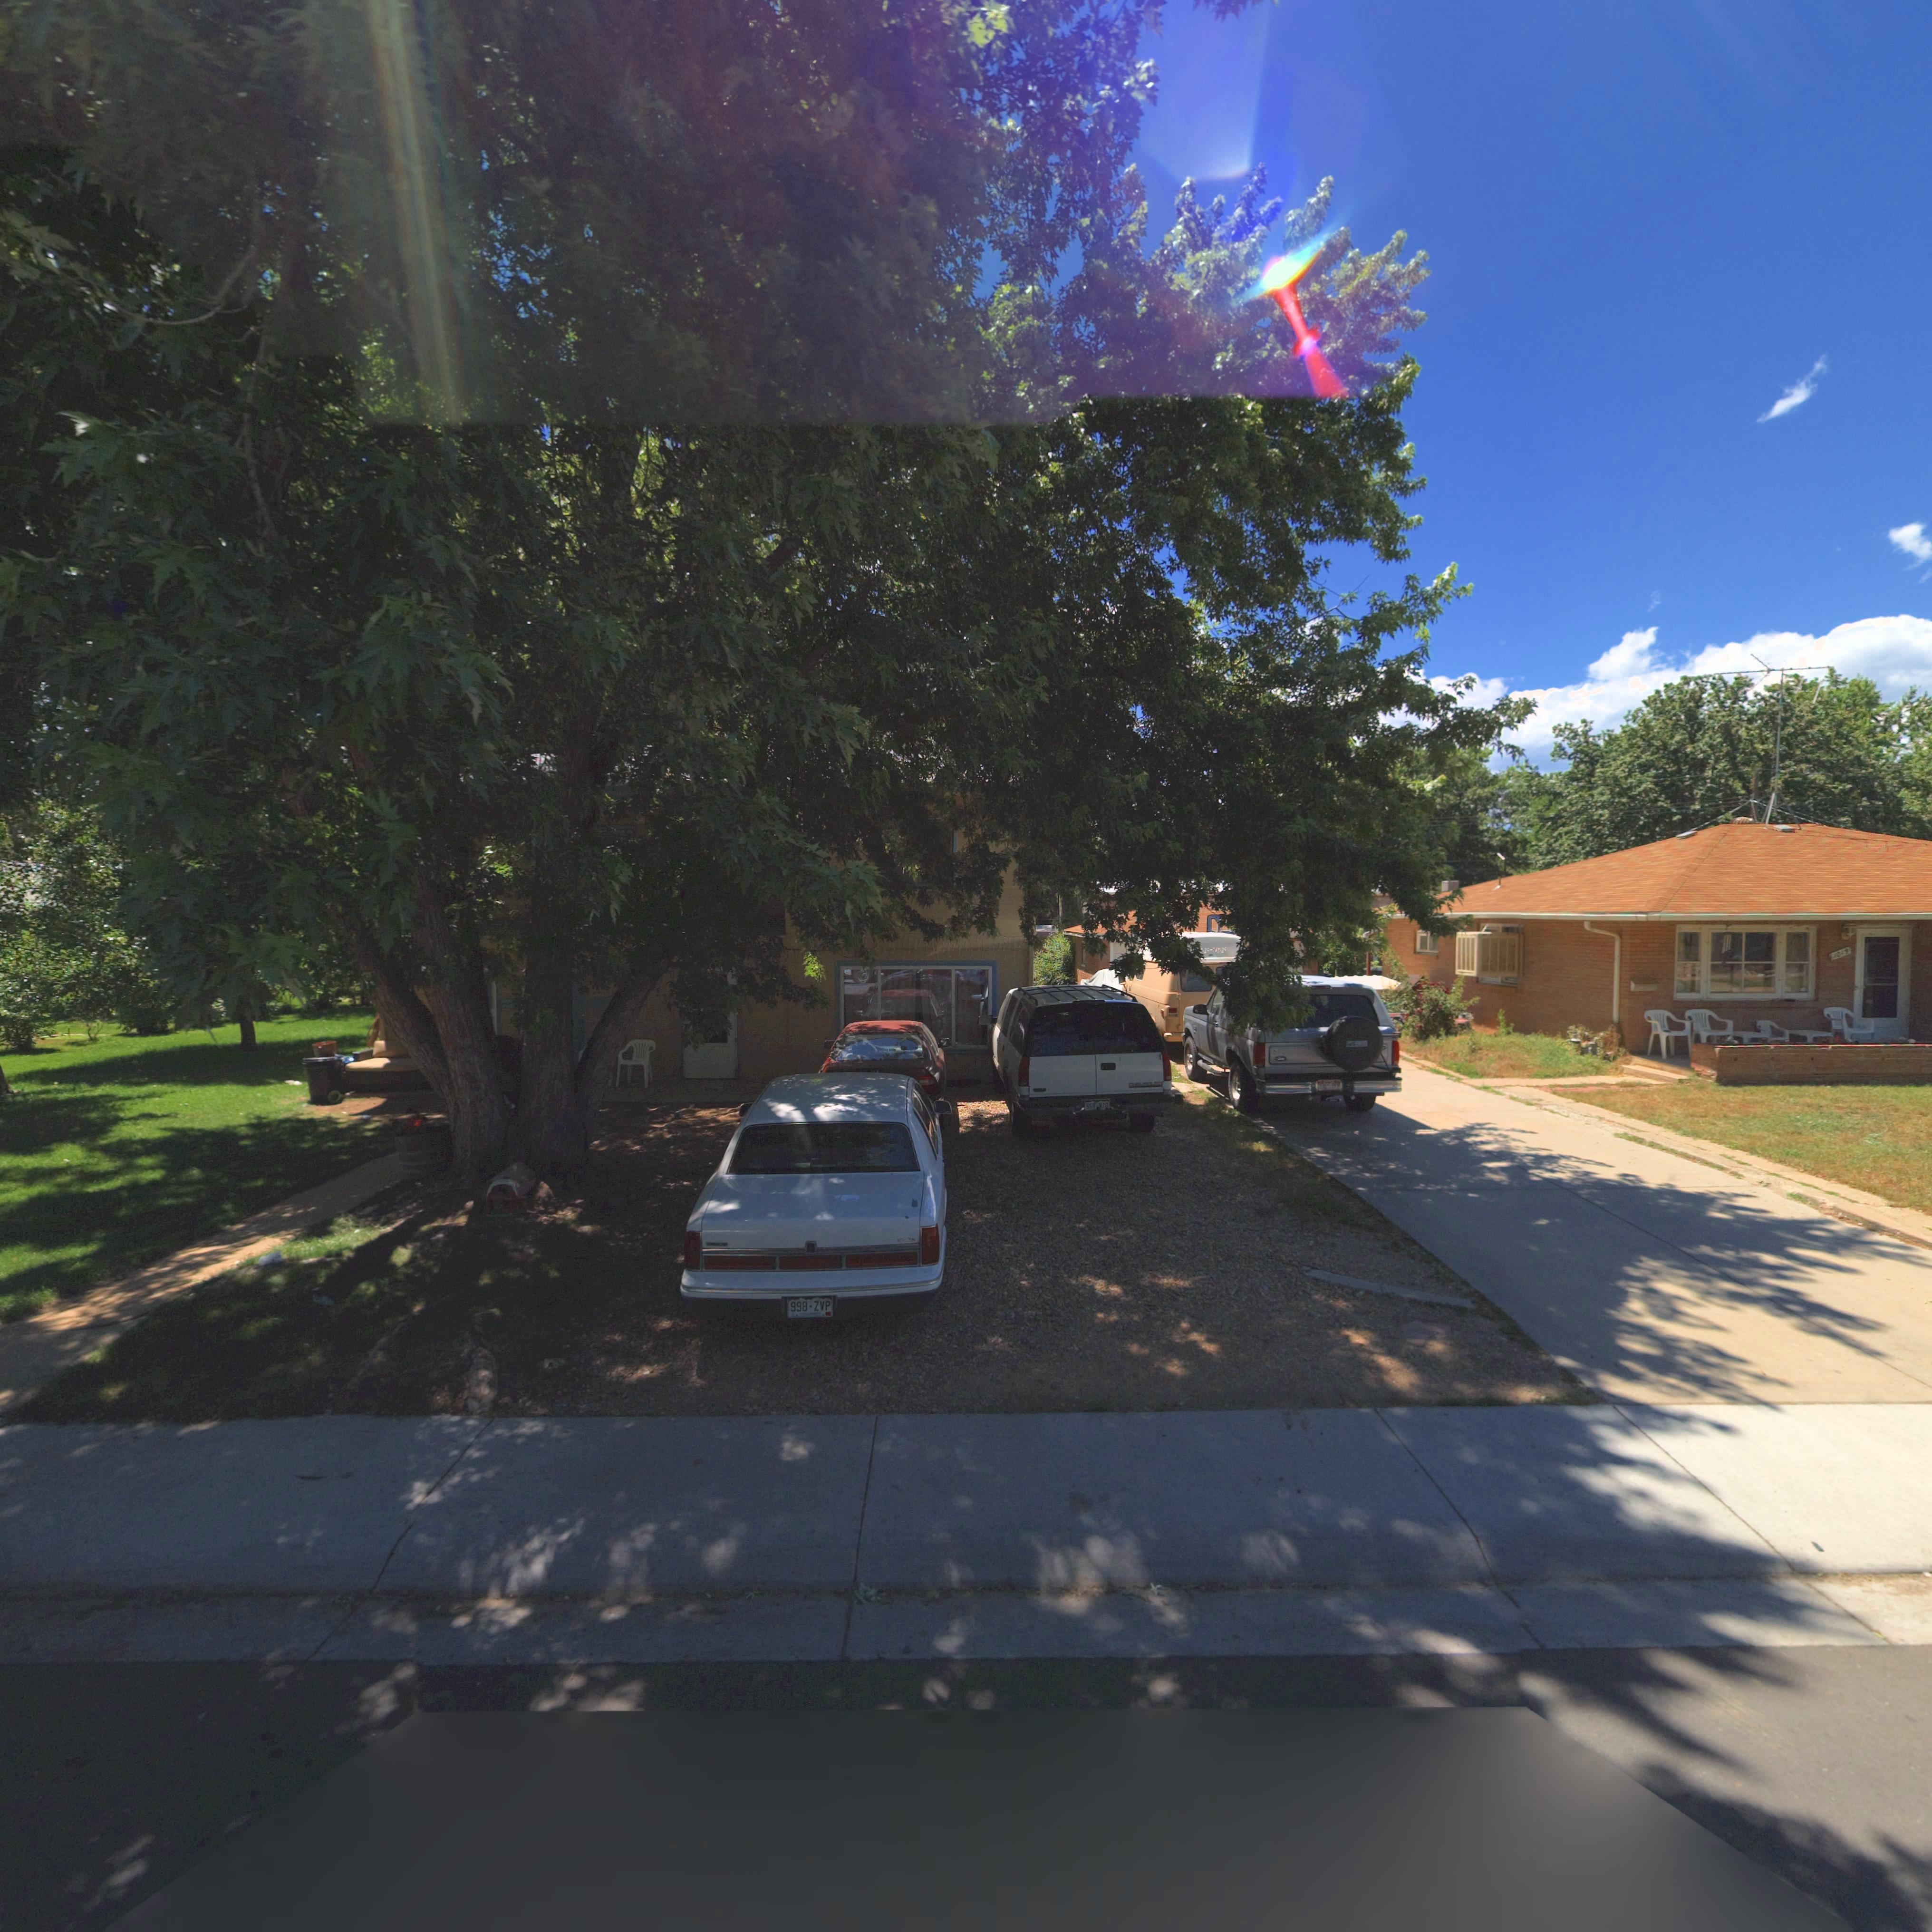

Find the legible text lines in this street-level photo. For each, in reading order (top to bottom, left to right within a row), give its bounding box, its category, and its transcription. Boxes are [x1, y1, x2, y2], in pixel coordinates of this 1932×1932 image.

[1834, 947, 1849, 958] StreetNumber: 1019
[654, 987, 668, 1005] StreetNumber: 13